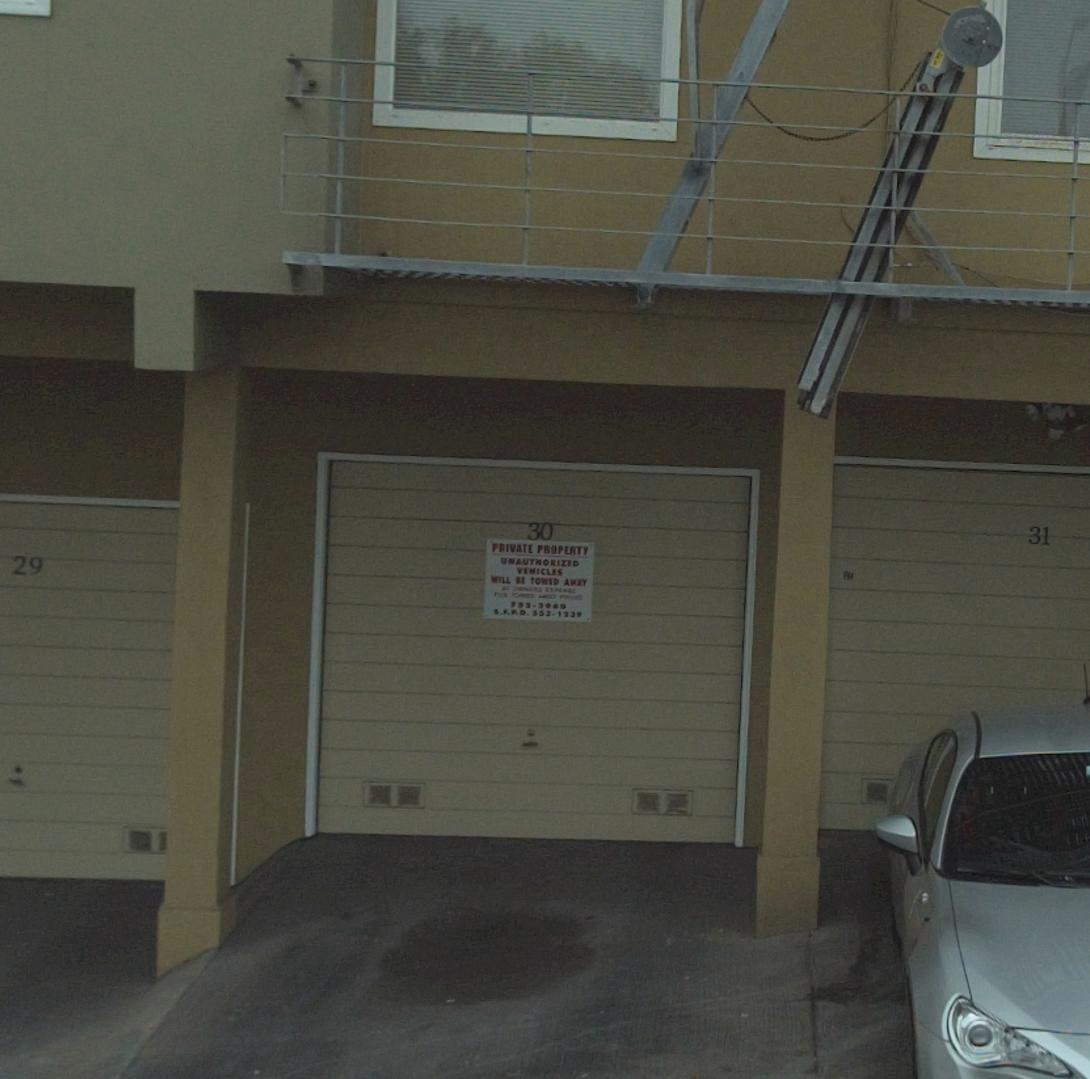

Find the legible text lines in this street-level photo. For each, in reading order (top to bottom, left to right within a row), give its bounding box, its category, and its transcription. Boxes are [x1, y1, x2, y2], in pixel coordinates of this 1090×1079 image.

[526, 520, 554, 541] StreetNumber: 30
[1027, 524, 1053, 547] StreetNumber: 31
[491, 542, 590, 557] None: PRIVATE PROPERTY
[10, 554, 45, 577] StreetNumber: 29
[499, 556, 580, 568] None: UNAUTHORIZED
[515, 566, 564, 577] None: VEHICLES
[489, 574, 589, 587] None: WILL BE TOWED AWAY
[508, 600, 570, 611] None: 753-**60
[492, 608, 531, 617] None: S.F.P.D
[531, 609, 582, 619] None: **2-1239